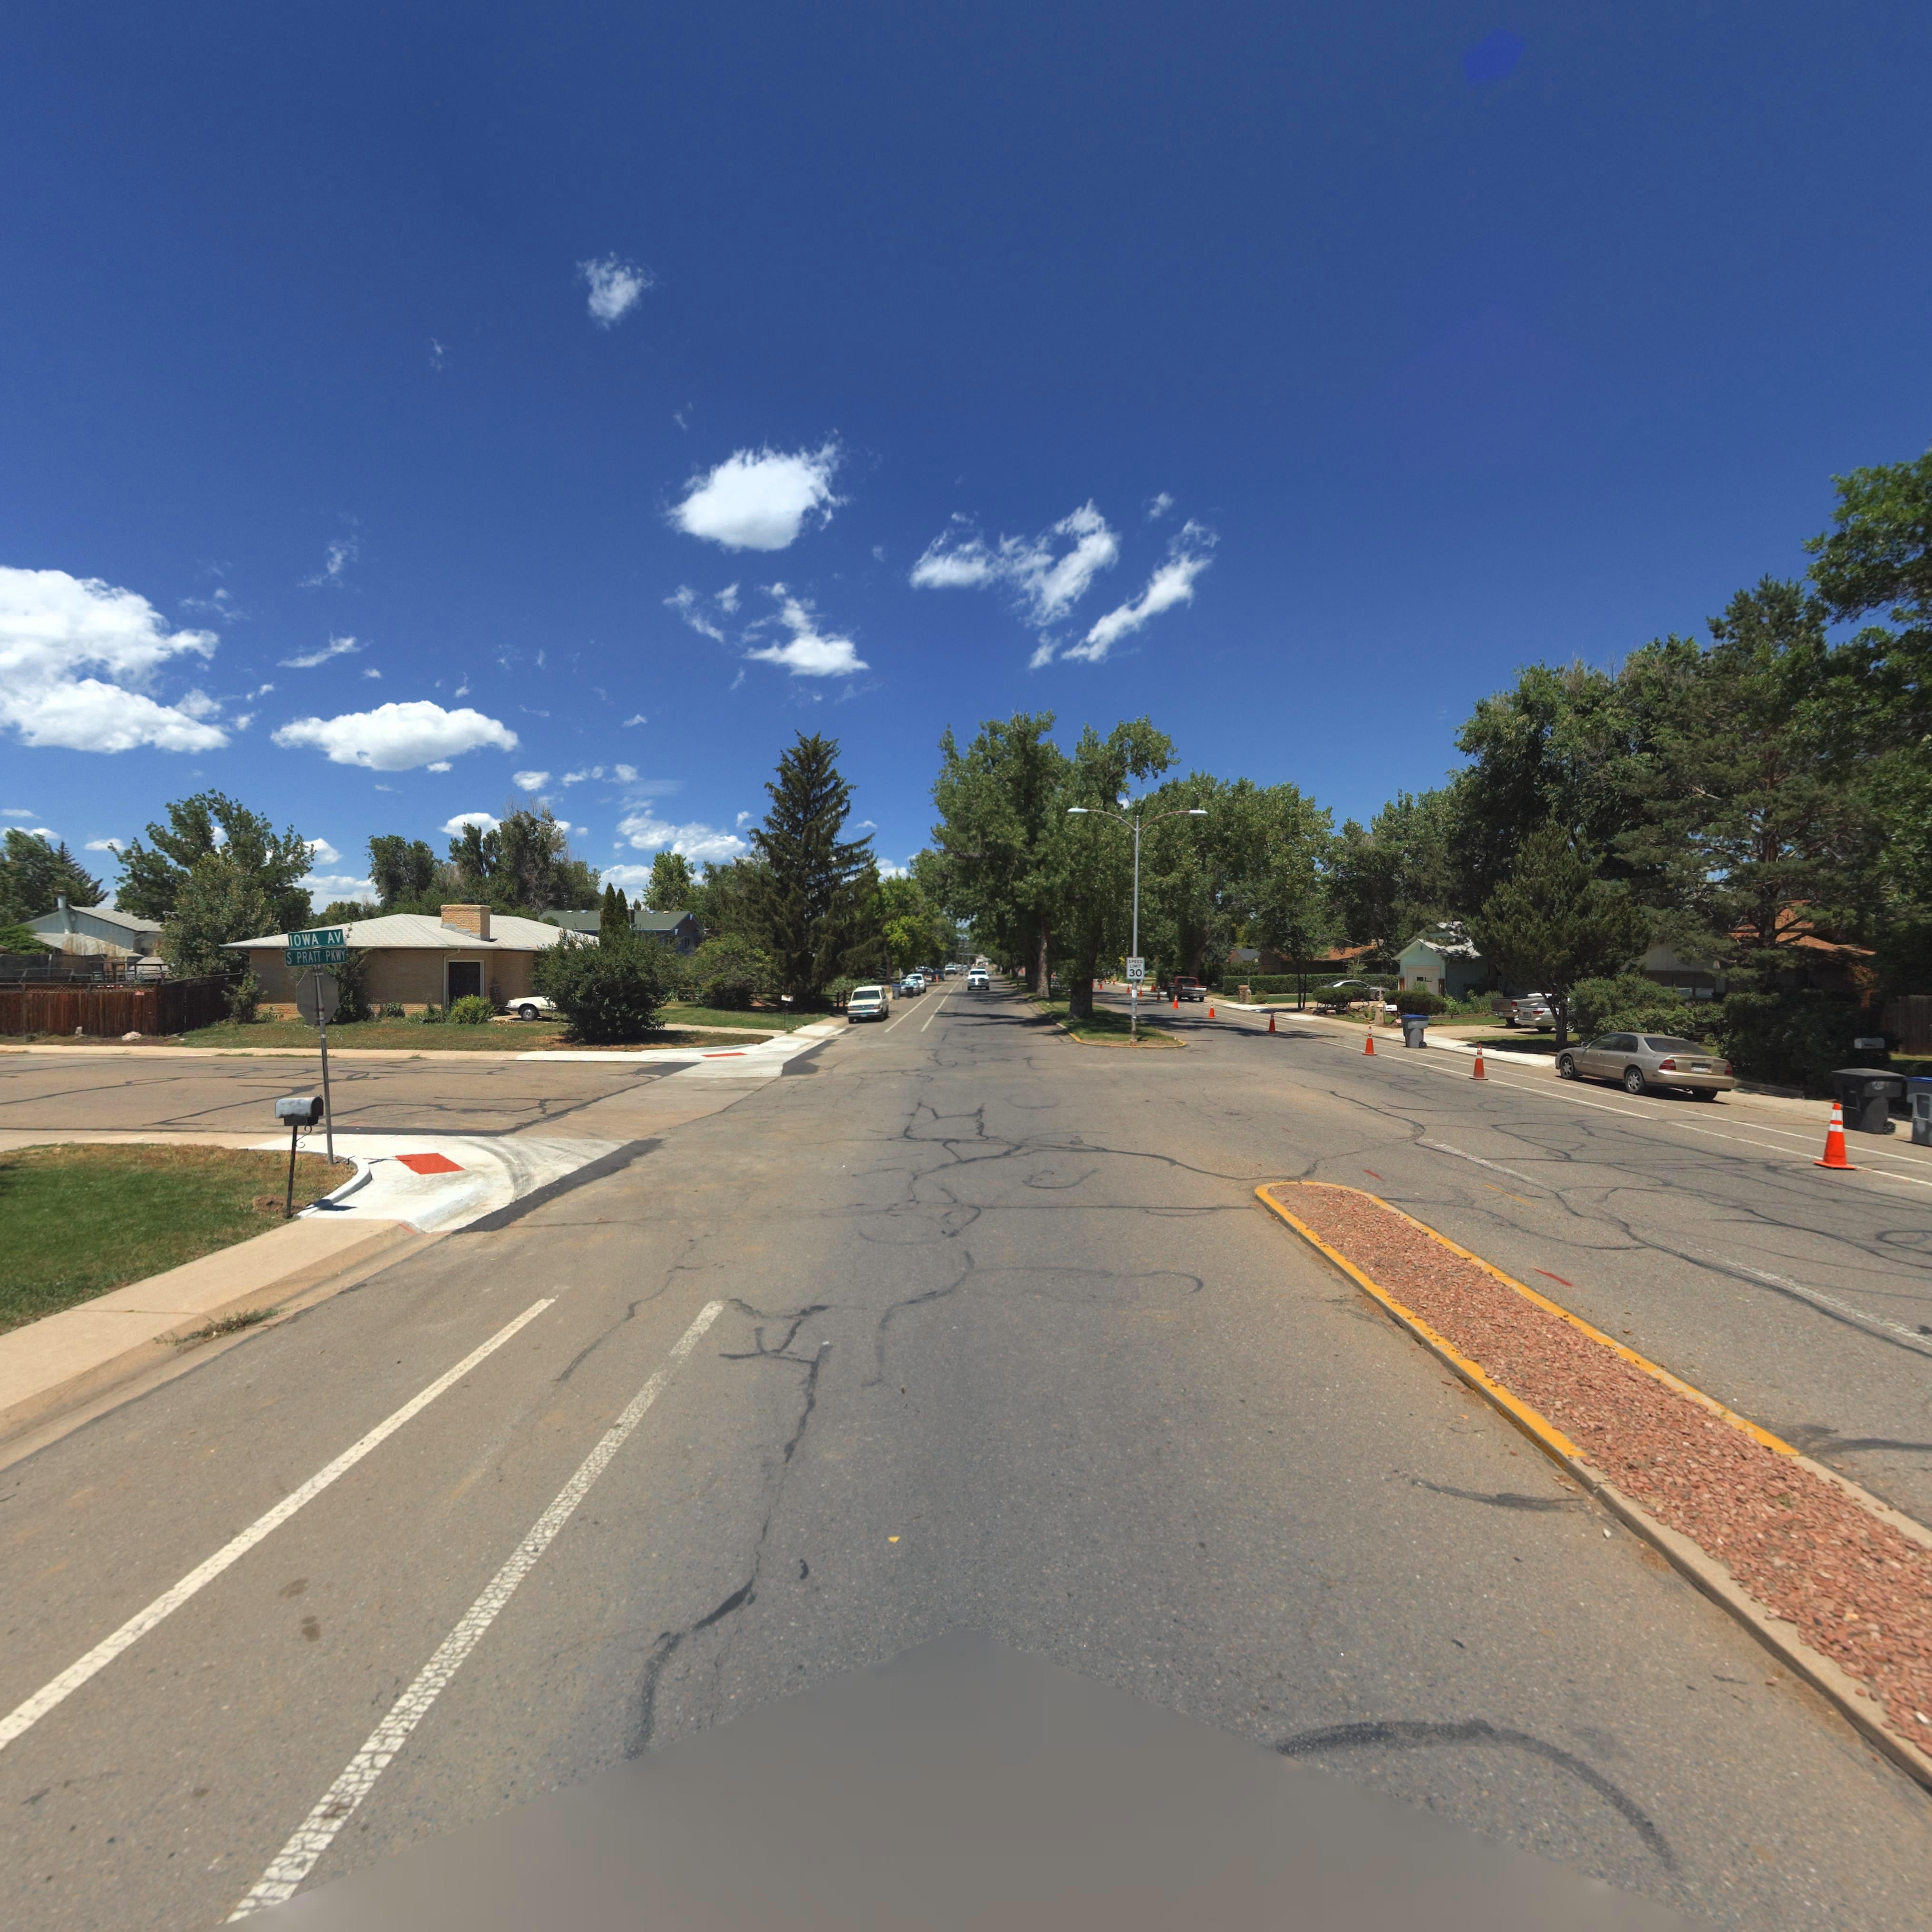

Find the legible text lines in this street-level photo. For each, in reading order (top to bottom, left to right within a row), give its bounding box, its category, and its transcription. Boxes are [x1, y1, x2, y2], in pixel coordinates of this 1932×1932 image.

[289, 930, 341, 947] StreetName: IOWA AV
[286, 949, 346, 965] StreetName: S PRATT PKWY